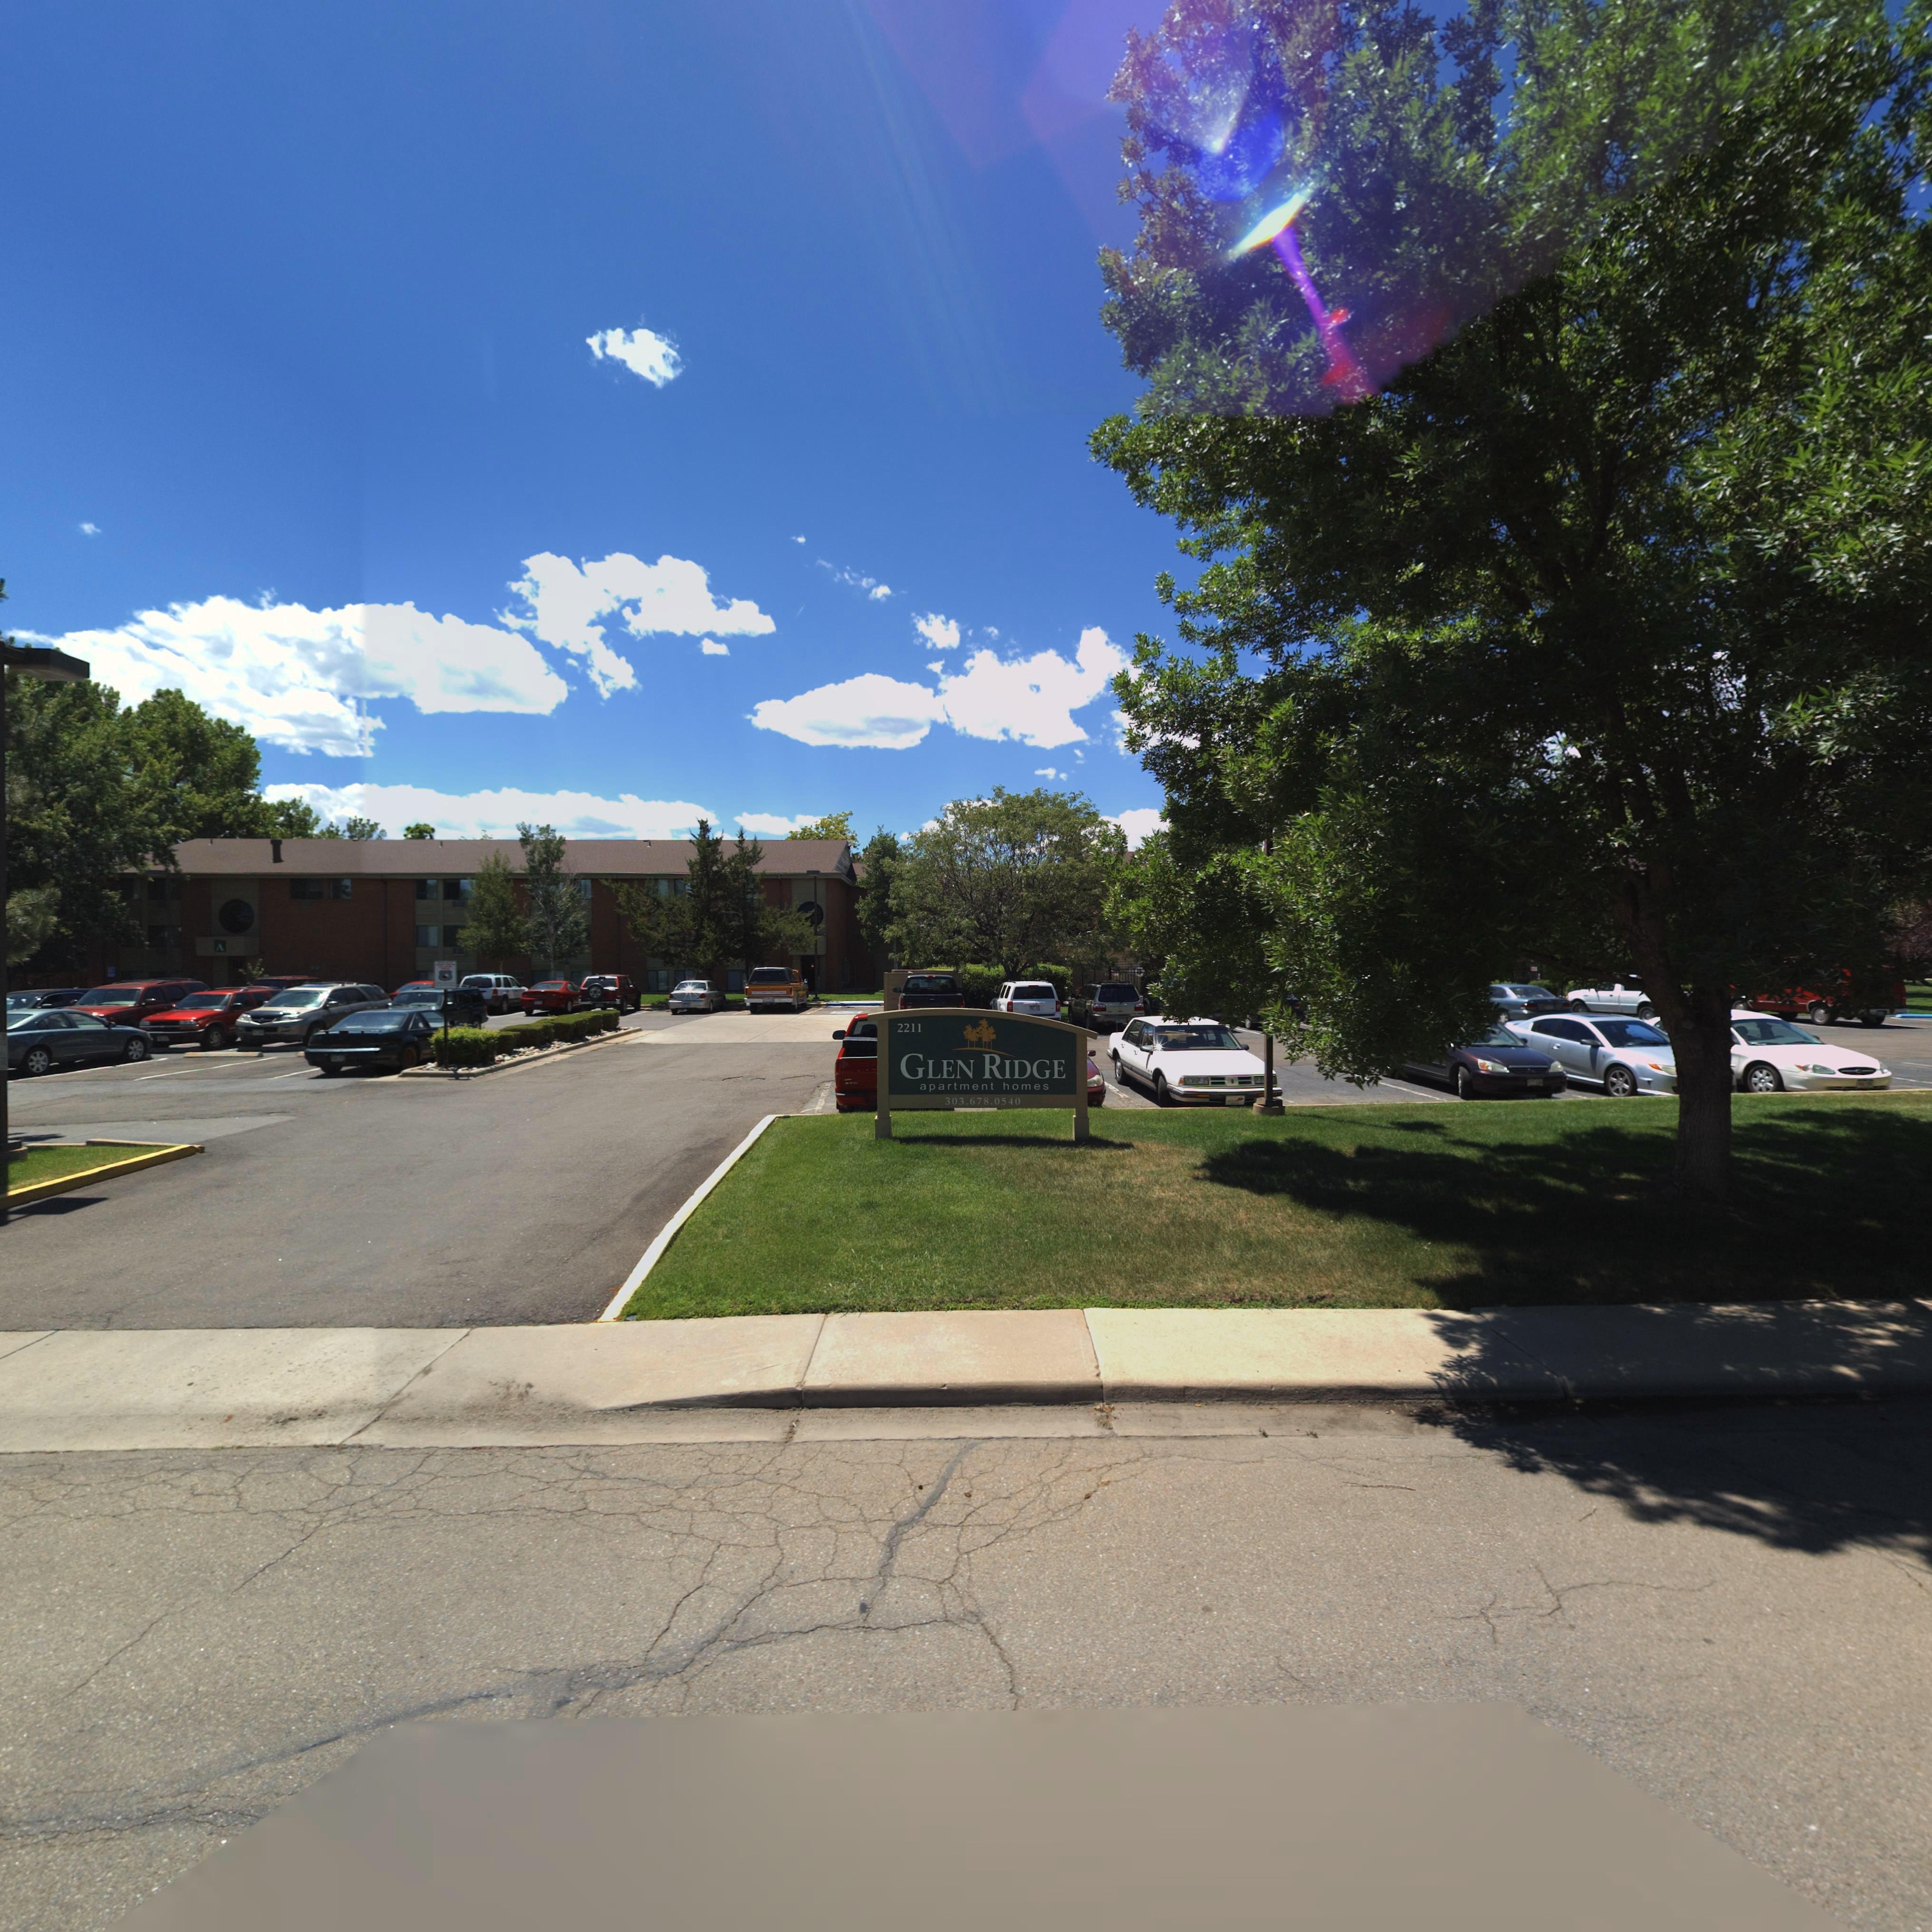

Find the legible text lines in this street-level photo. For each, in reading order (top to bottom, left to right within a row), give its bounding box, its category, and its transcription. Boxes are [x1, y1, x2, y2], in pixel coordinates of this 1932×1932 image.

[897, 1022, 923, 1034] StreetNumber: 2211
[899, 1052, 1066, 1081] BusinessName: GLEN RIDGE